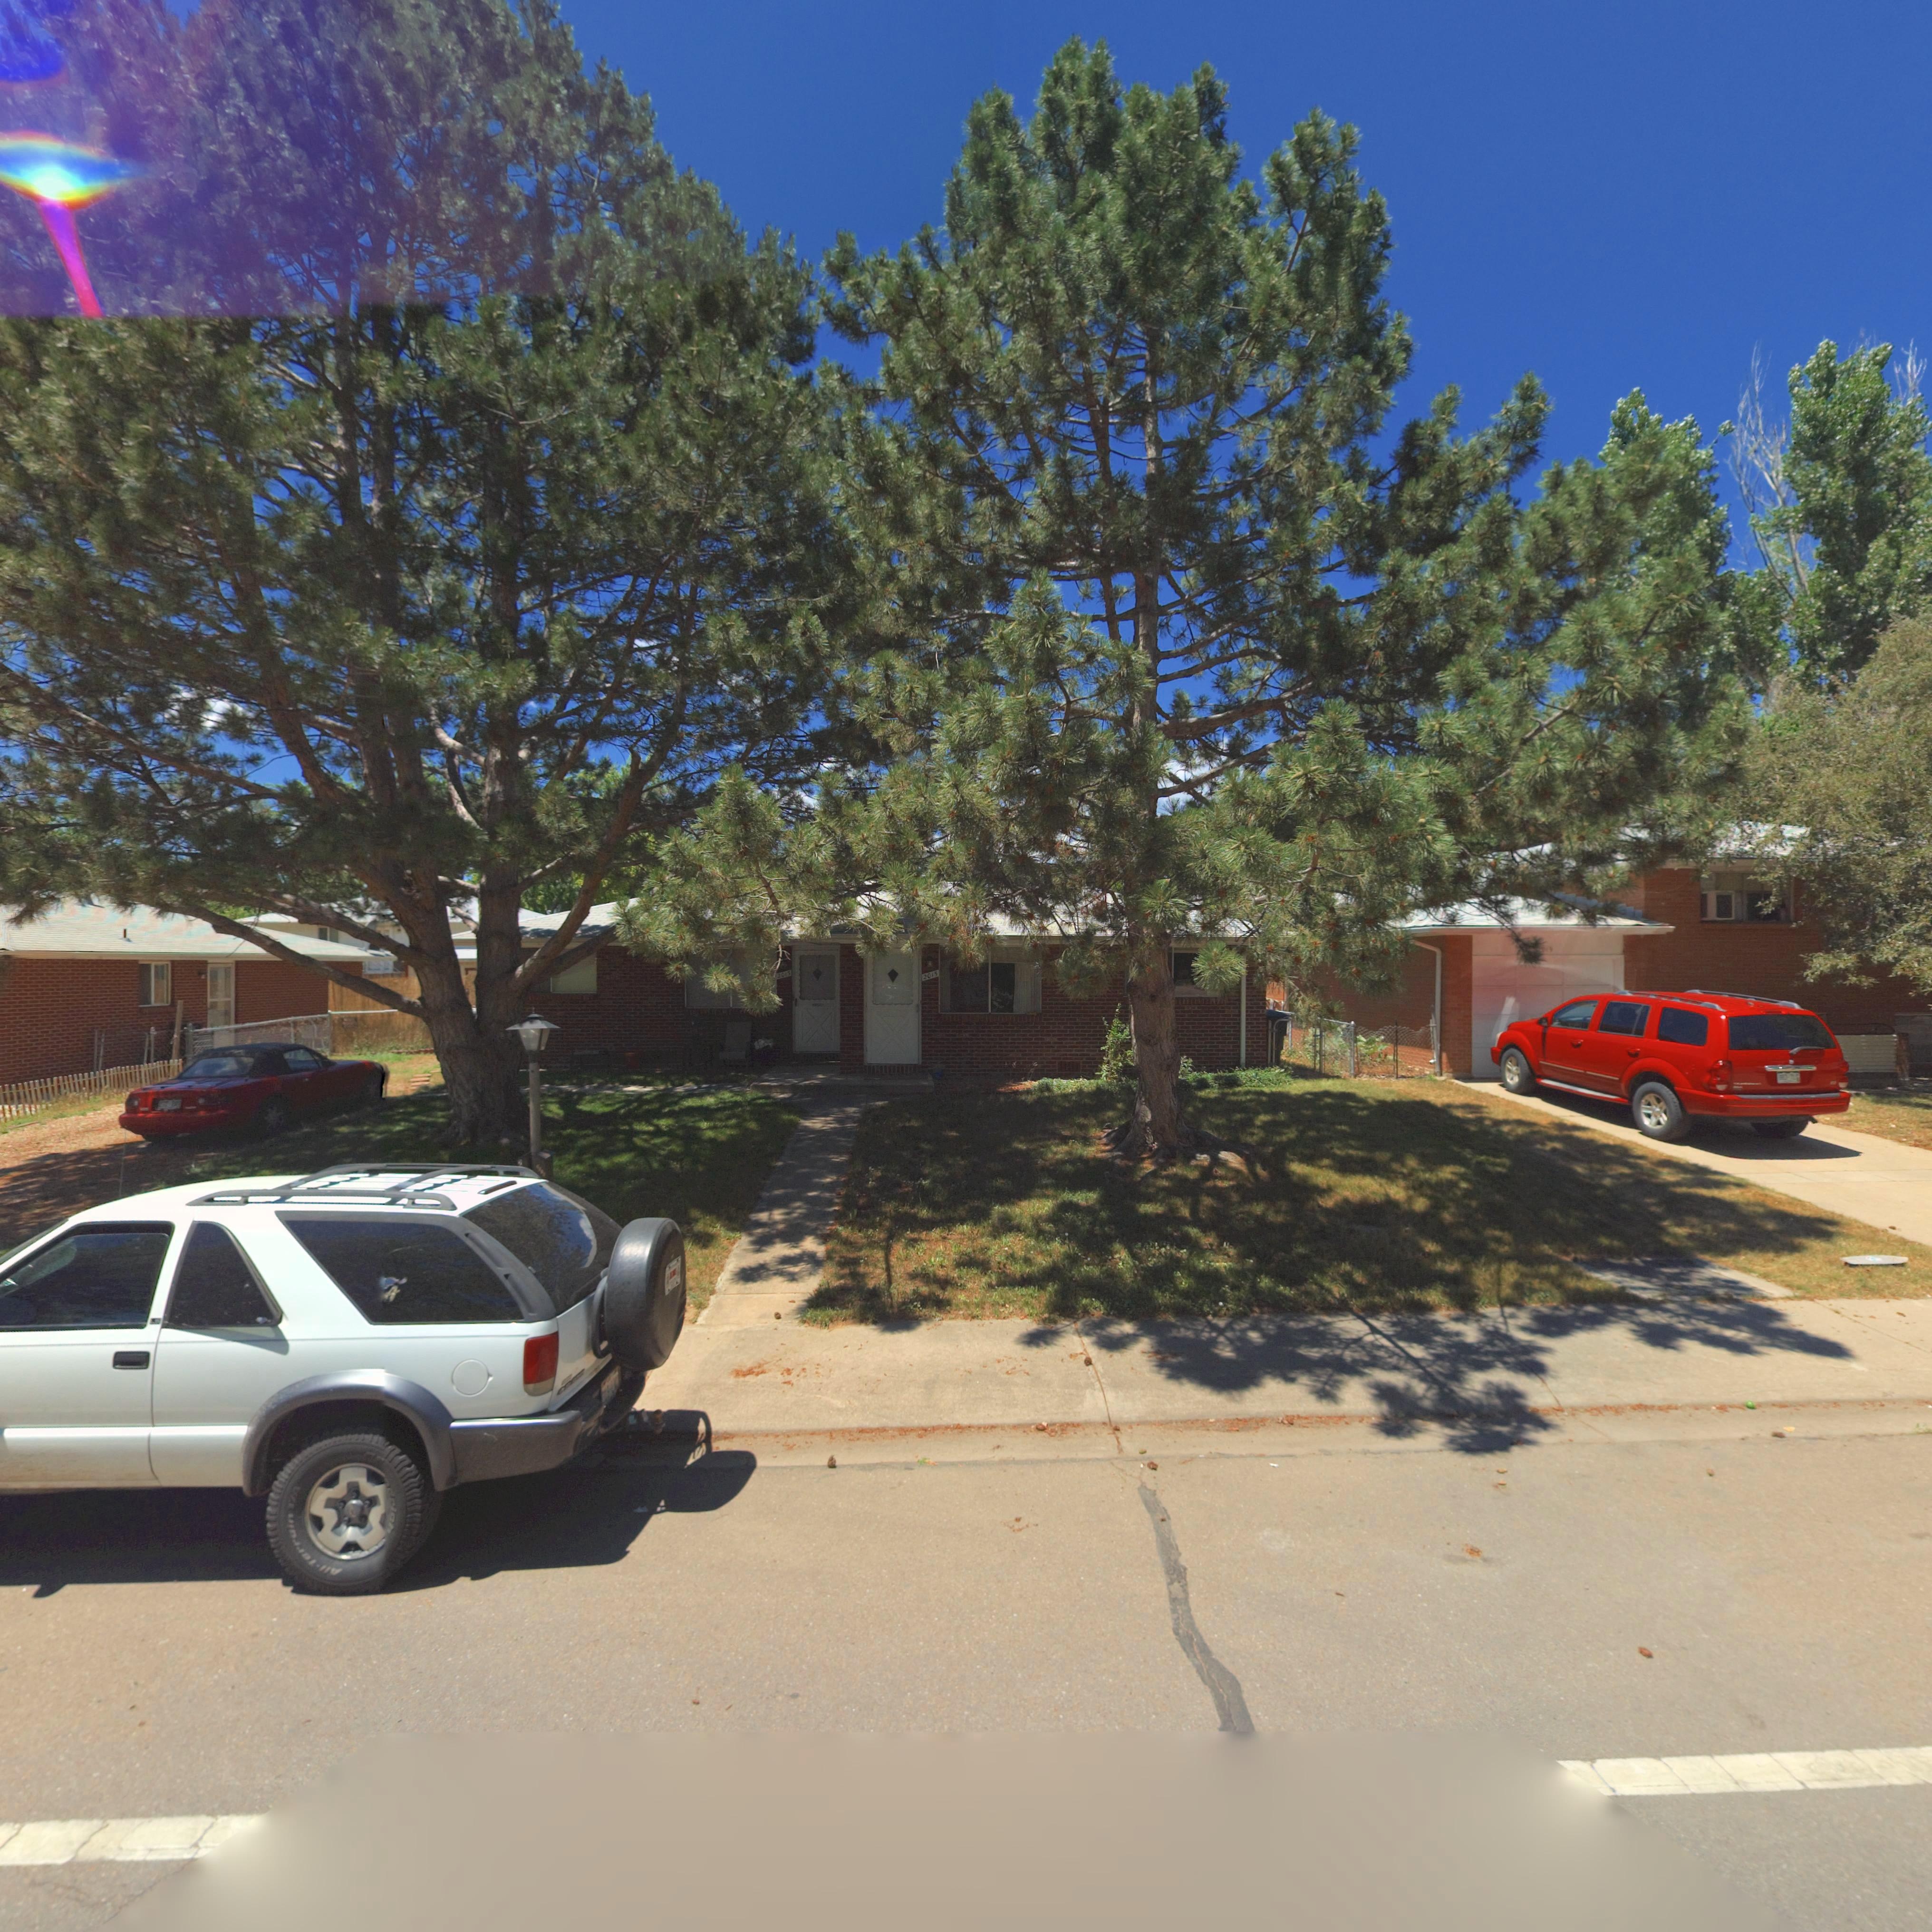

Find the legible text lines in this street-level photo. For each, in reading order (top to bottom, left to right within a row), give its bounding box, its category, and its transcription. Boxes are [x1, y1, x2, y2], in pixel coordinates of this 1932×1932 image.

[777, 970, 791, 979] StreetNumber: 2013
[922, 970, 938, 981] StreetNumber: 2015